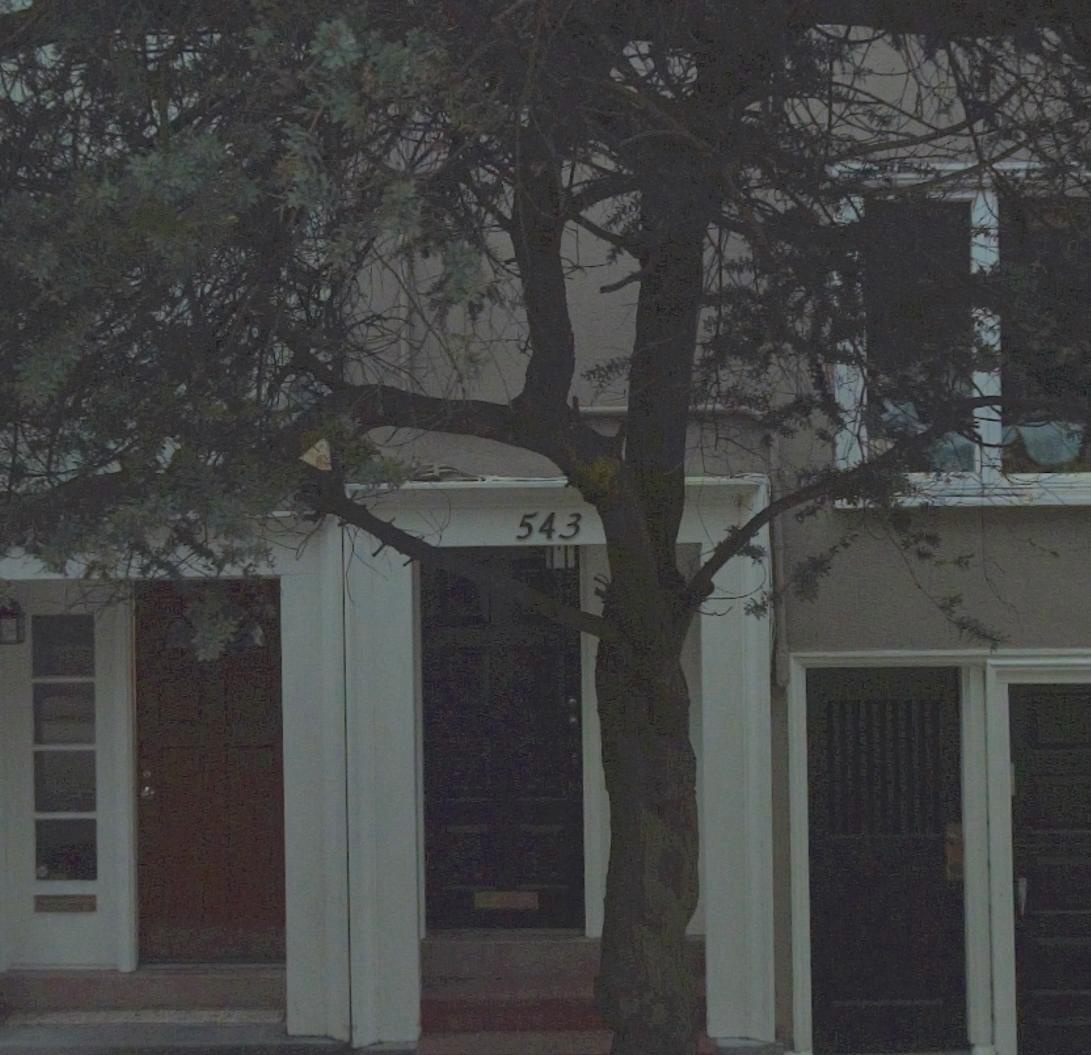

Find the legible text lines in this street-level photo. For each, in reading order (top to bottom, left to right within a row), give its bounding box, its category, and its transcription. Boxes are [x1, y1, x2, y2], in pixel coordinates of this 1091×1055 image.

[513, 510, 585, 541] StreetNumber: 543